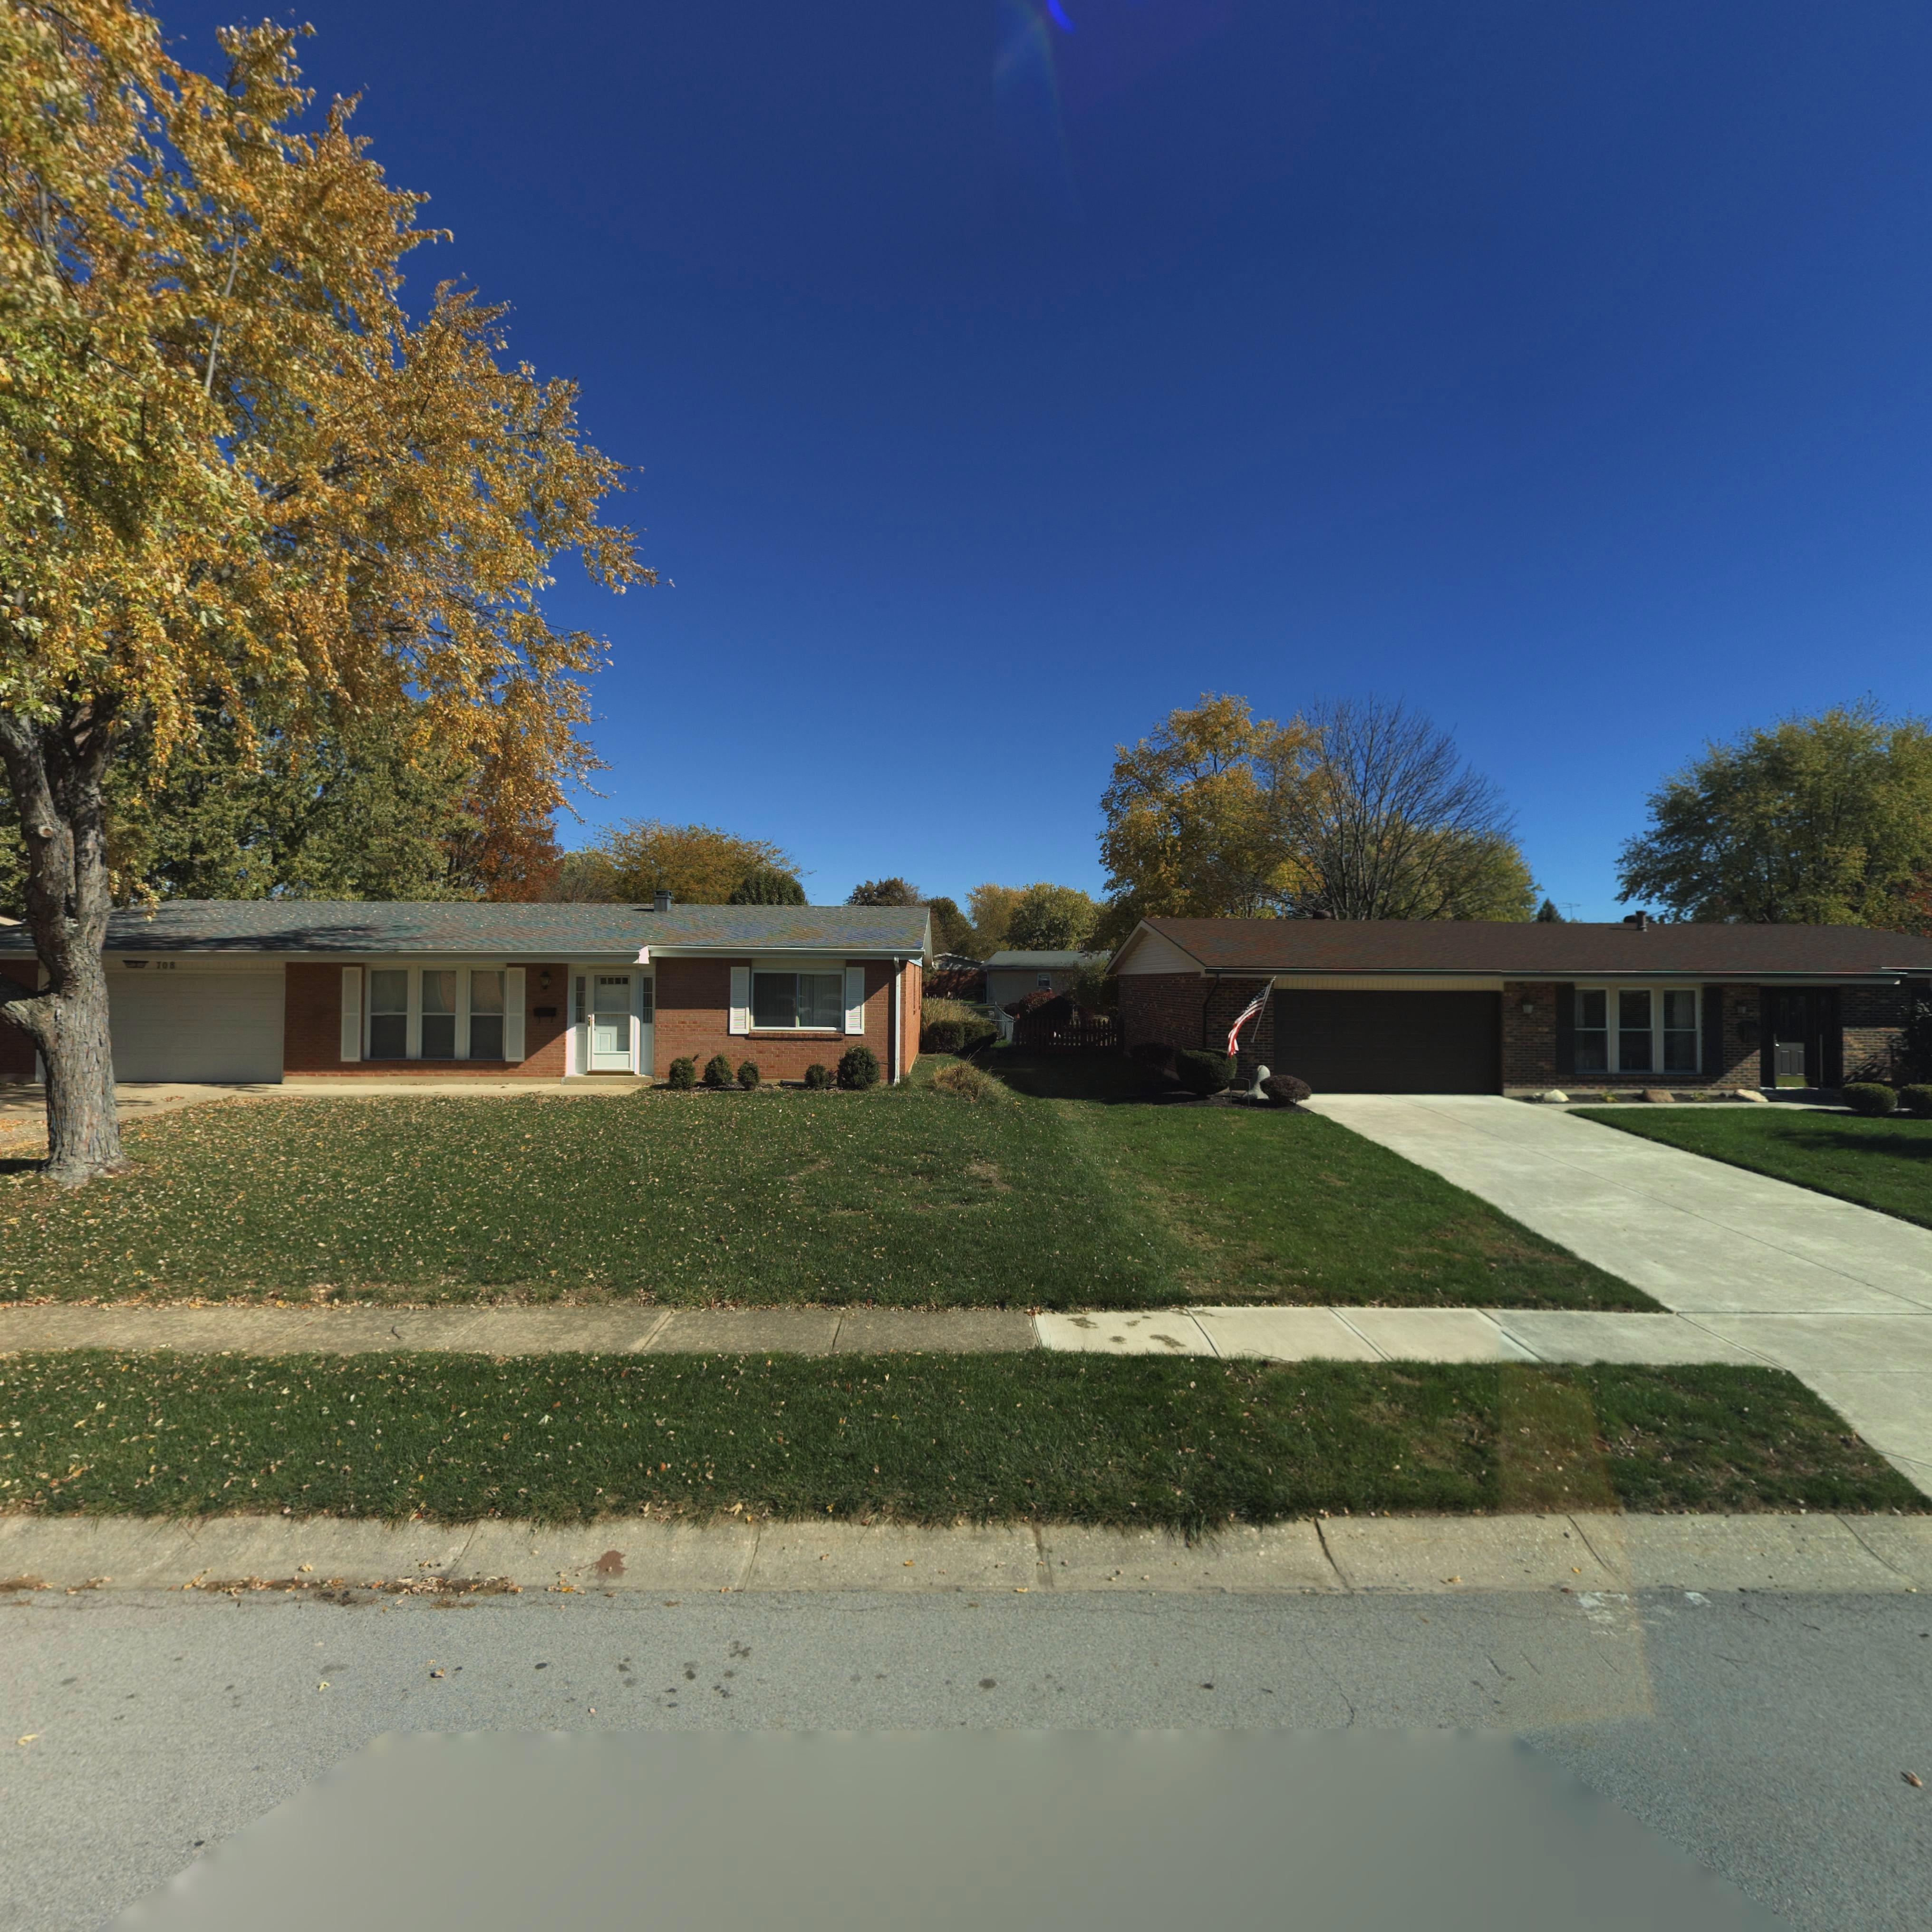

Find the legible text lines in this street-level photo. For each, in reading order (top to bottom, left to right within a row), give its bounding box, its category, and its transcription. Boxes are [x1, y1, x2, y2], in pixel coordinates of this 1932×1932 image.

[155, 961, 175, 969] StreetNumber: 708